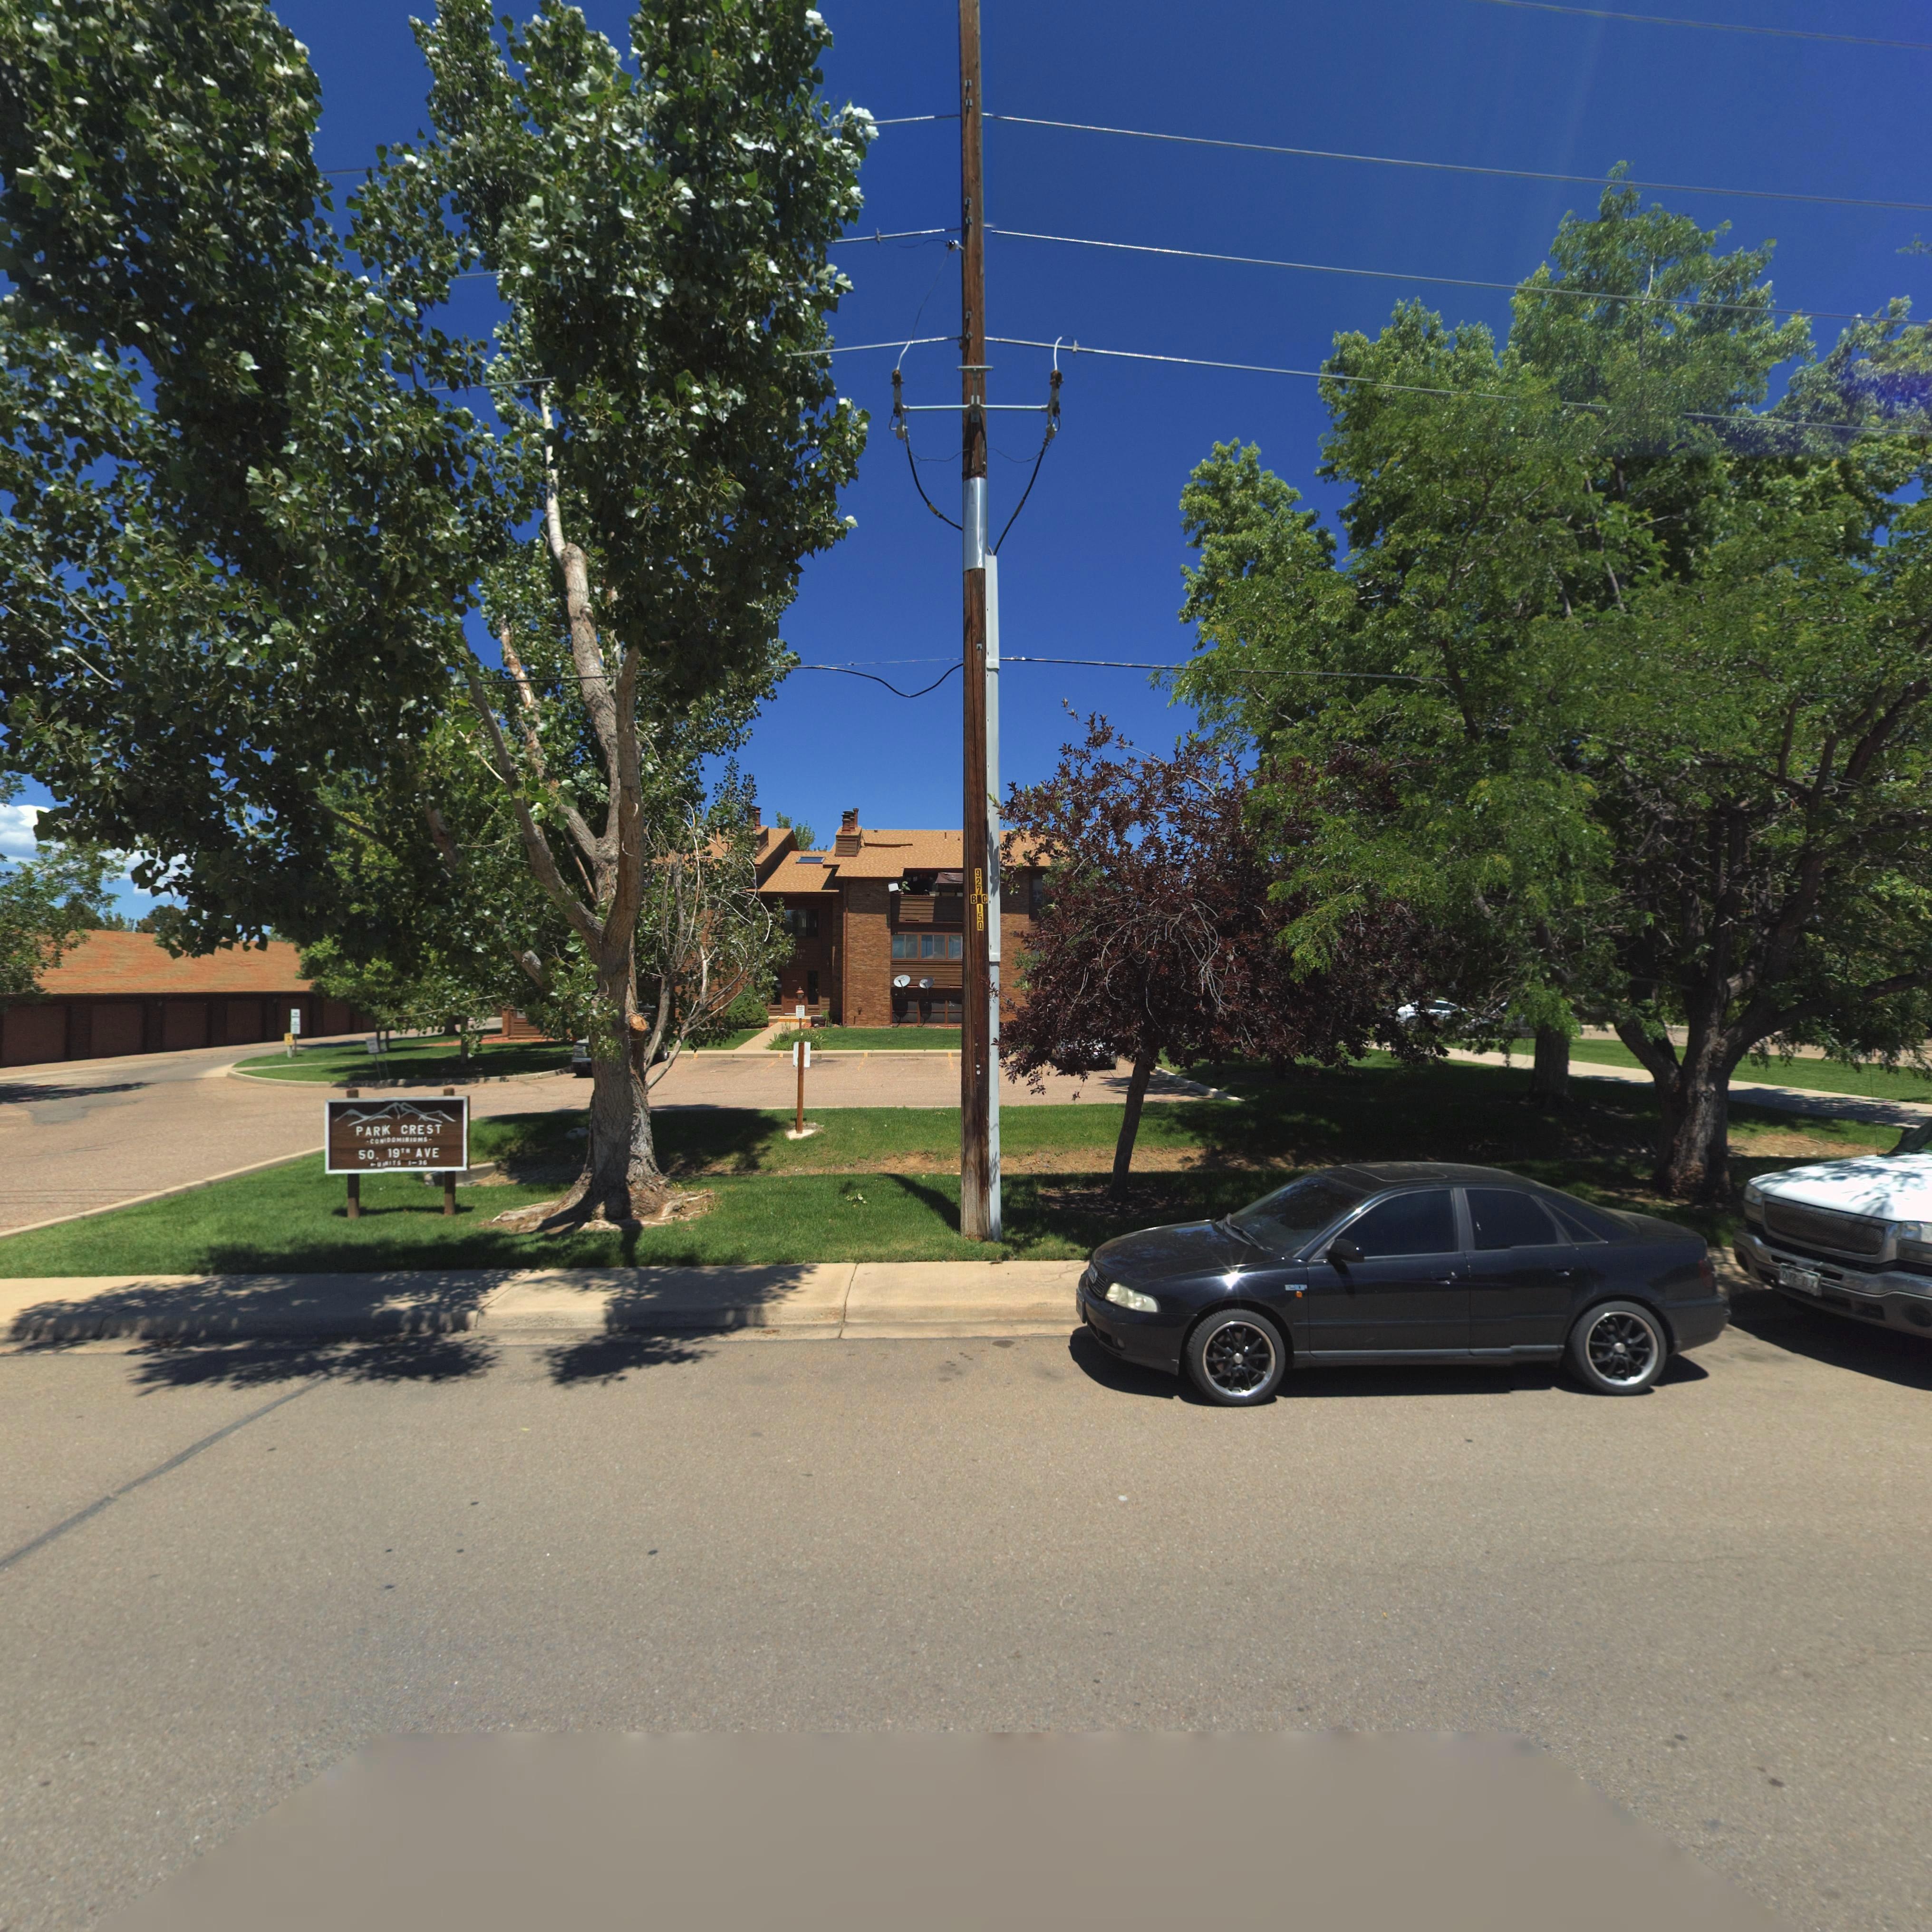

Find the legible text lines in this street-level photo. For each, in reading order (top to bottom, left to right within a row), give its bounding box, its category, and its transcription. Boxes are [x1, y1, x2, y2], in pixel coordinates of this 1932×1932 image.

[356, 1123, 443, 1136] BusinessName: PAR* CREST
[369, 1136, 427, 1144] BusinessName: CO*DOMINIUMS
[358, 1150, 375, 1160] StreetNumber: 50
[386, 1147, 439, 1158] StreetName: 19TH AVE
[377, 1159, 428, 1168] SecondaryUnitDesignator: U*ITS 1-**